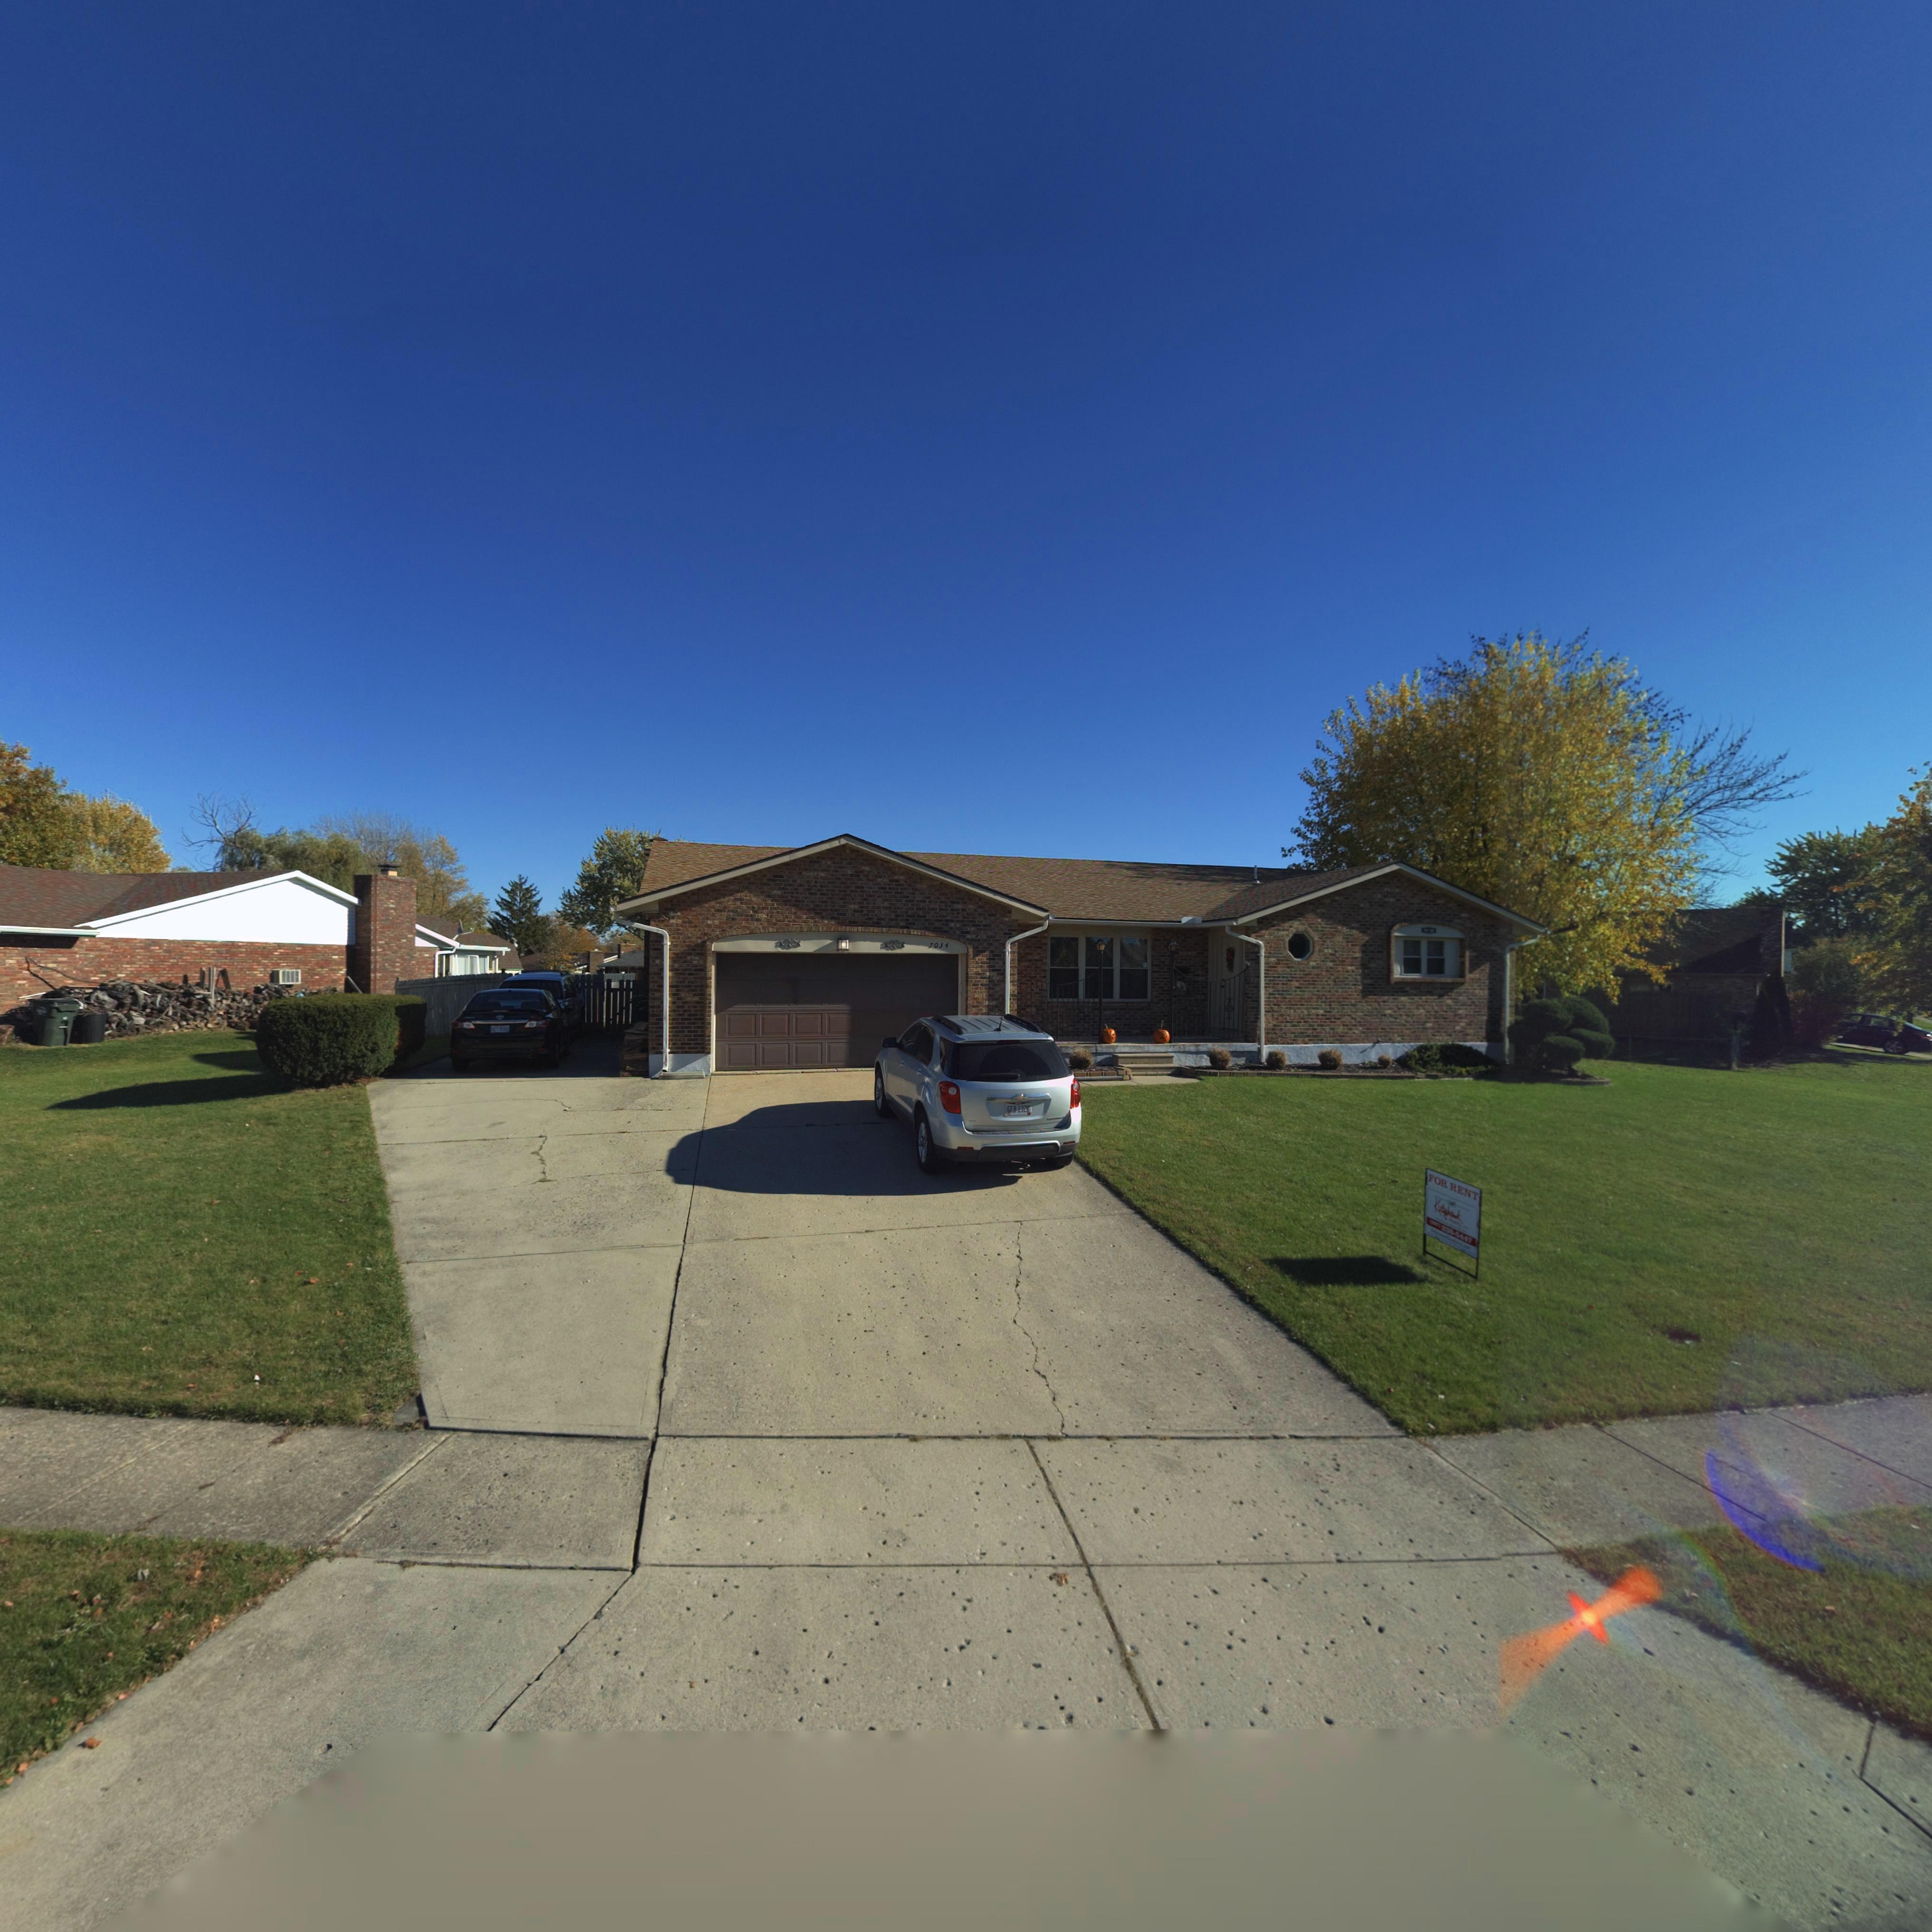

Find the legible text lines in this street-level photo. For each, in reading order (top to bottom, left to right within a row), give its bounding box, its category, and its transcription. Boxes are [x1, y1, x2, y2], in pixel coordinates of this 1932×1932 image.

[927, 942, 949, 949] StreetNumber: 7034